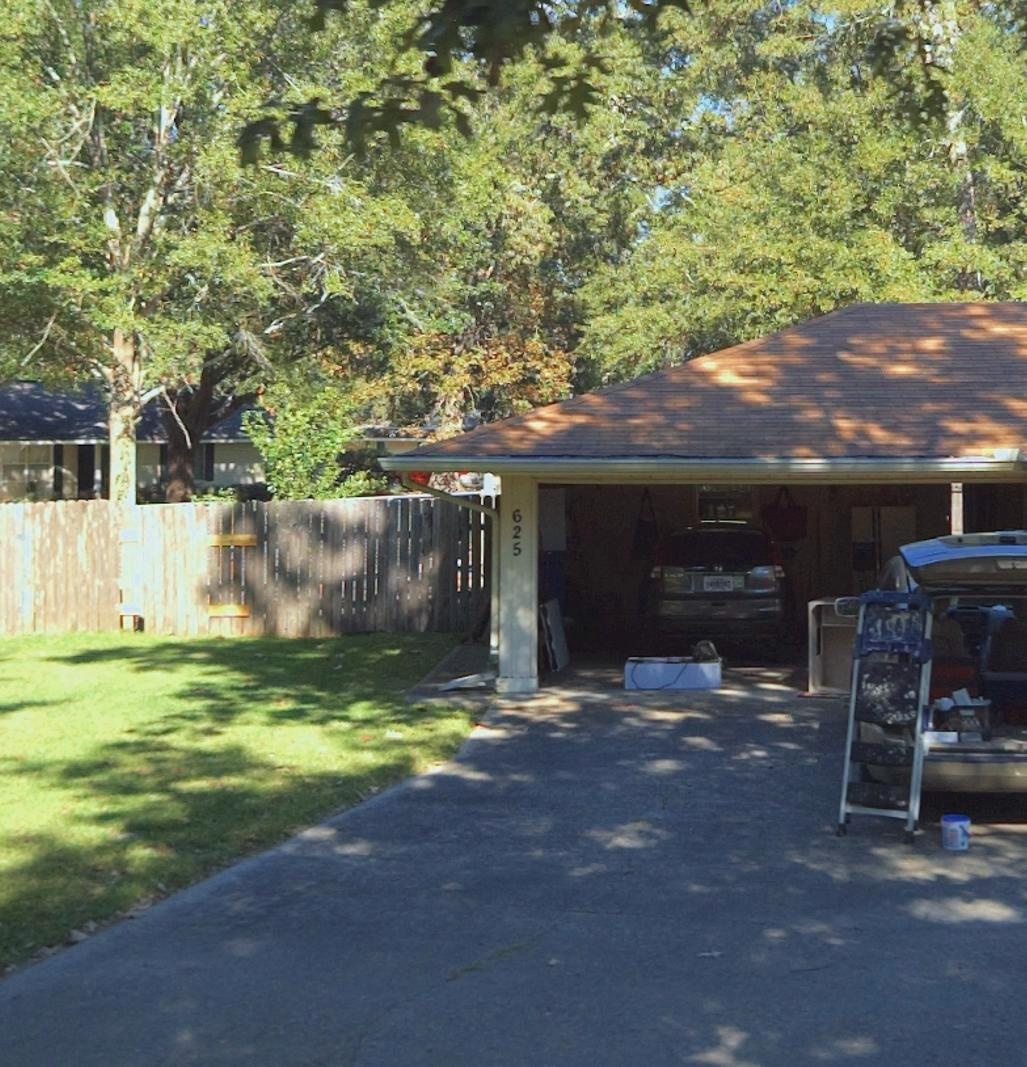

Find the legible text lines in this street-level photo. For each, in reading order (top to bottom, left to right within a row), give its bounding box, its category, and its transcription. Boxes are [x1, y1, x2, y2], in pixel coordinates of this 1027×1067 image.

[511, 508, 523, 557] StreetNumber: 625